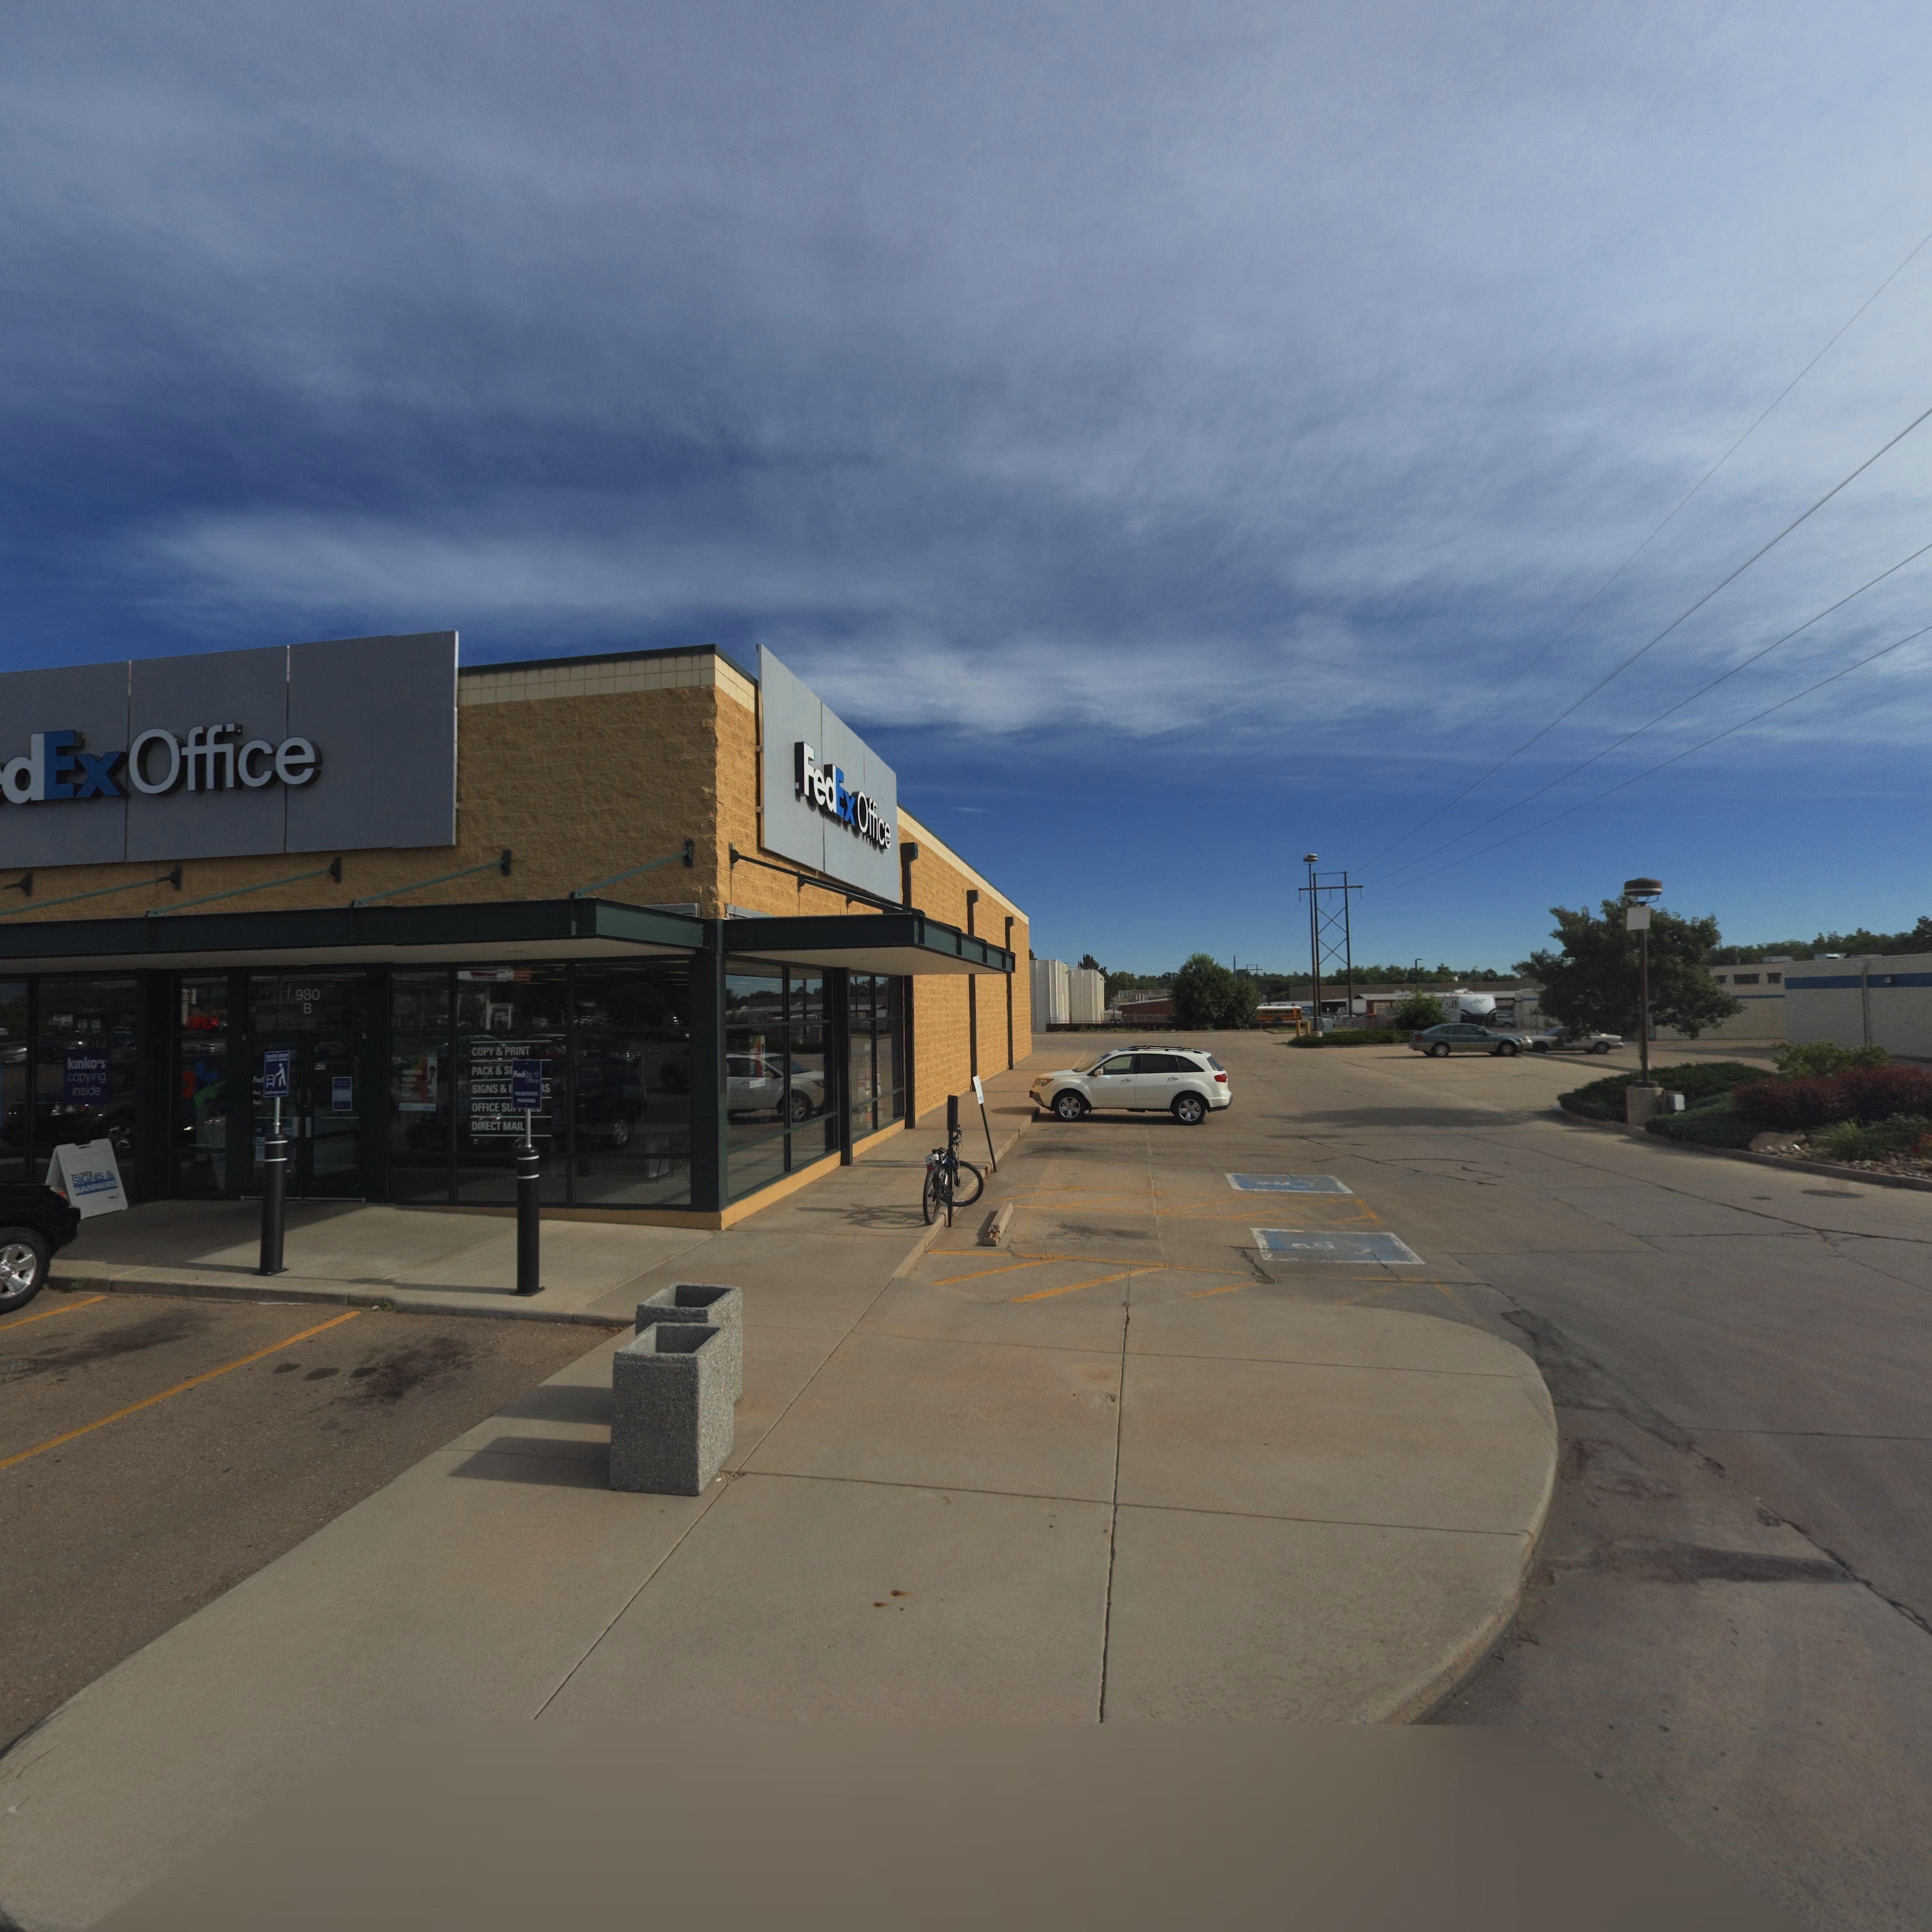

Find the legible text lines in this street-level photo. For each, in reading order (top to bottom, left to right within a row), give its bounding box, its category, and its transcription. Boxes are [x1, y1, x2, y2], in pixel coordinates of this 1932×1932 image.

[1, 721, 317, 805] BusinessName: dEx Office
[803, 740, 891, 850] BusinessName: FedEx Office
[295, 989, 320, 1001] StreetNumber: 980
[302, 1002, 312, 1014] StreetNumber: B
[66, 1056, 106, 1070] BusinessName: kindo*s
[252, 1075, 263, 1083] BusinessName: Fed
[513, 1070, 539, 1084] BusinessName: FedE* Office